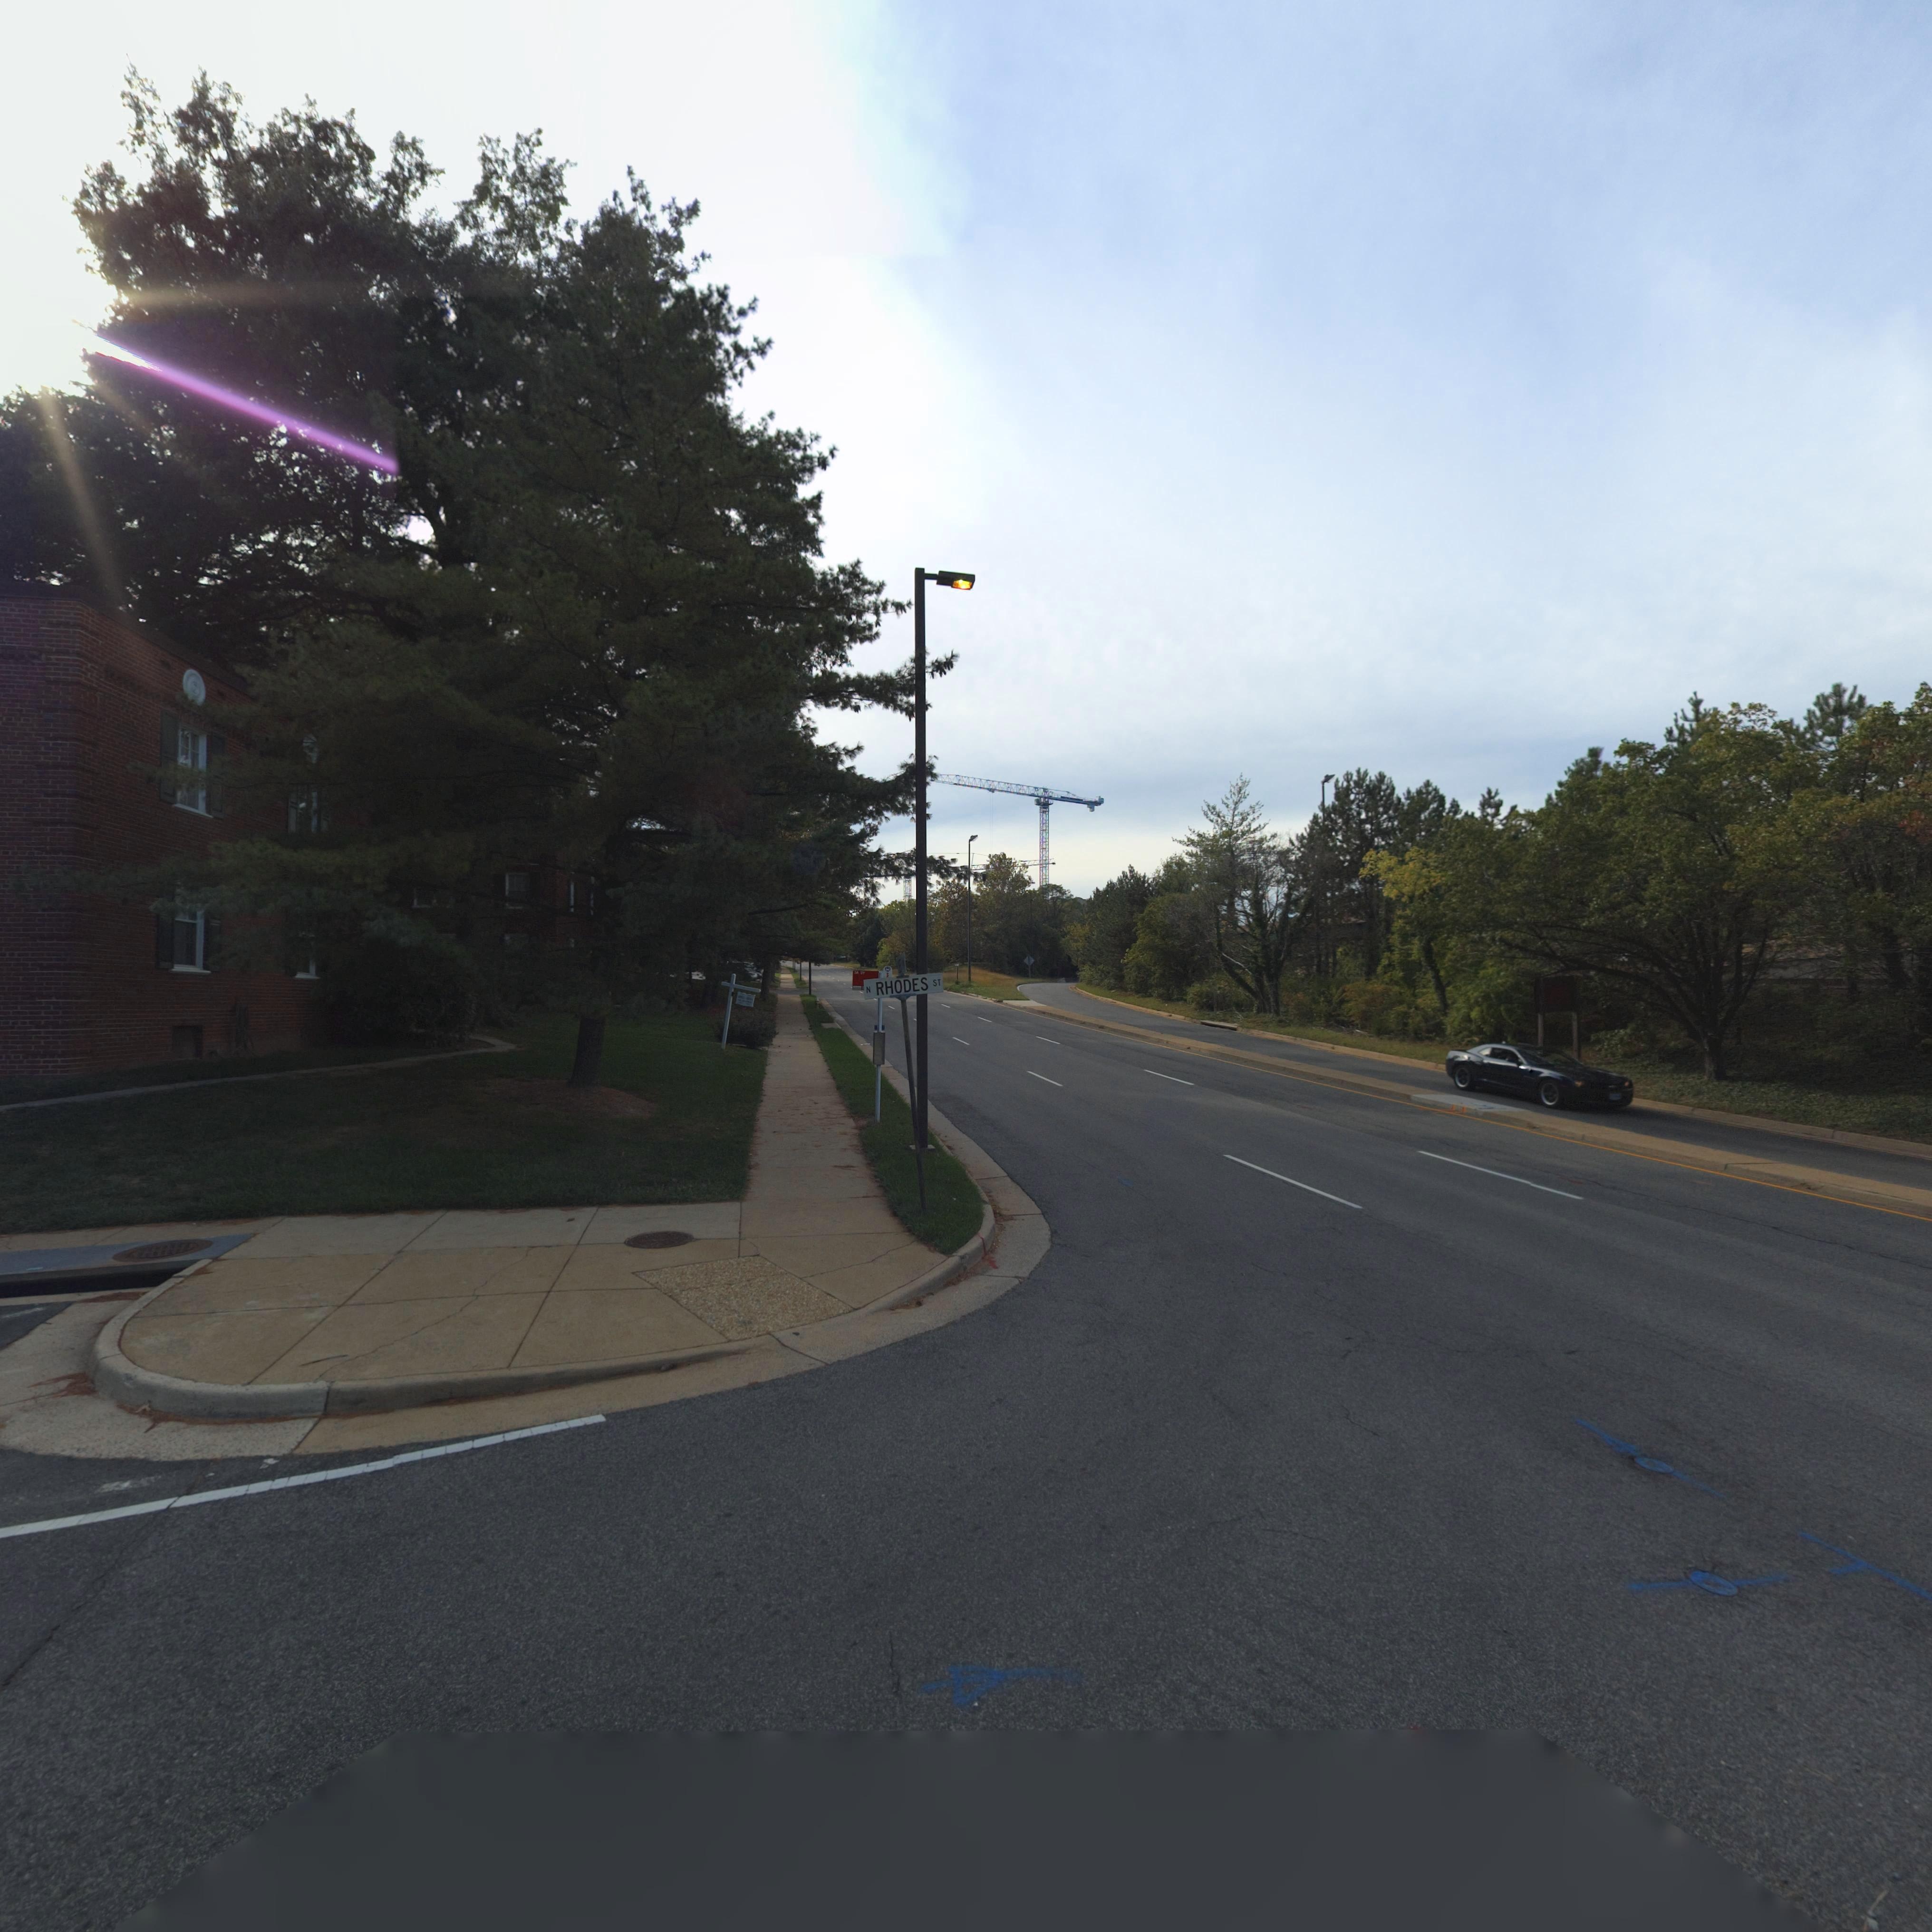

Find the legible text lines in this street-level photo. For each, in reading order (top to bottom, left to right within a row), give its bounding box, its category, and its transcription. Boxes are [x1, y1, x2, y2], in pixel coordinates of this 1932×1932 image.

[864, 975, 945, 998] StreetName: N RHODES ST